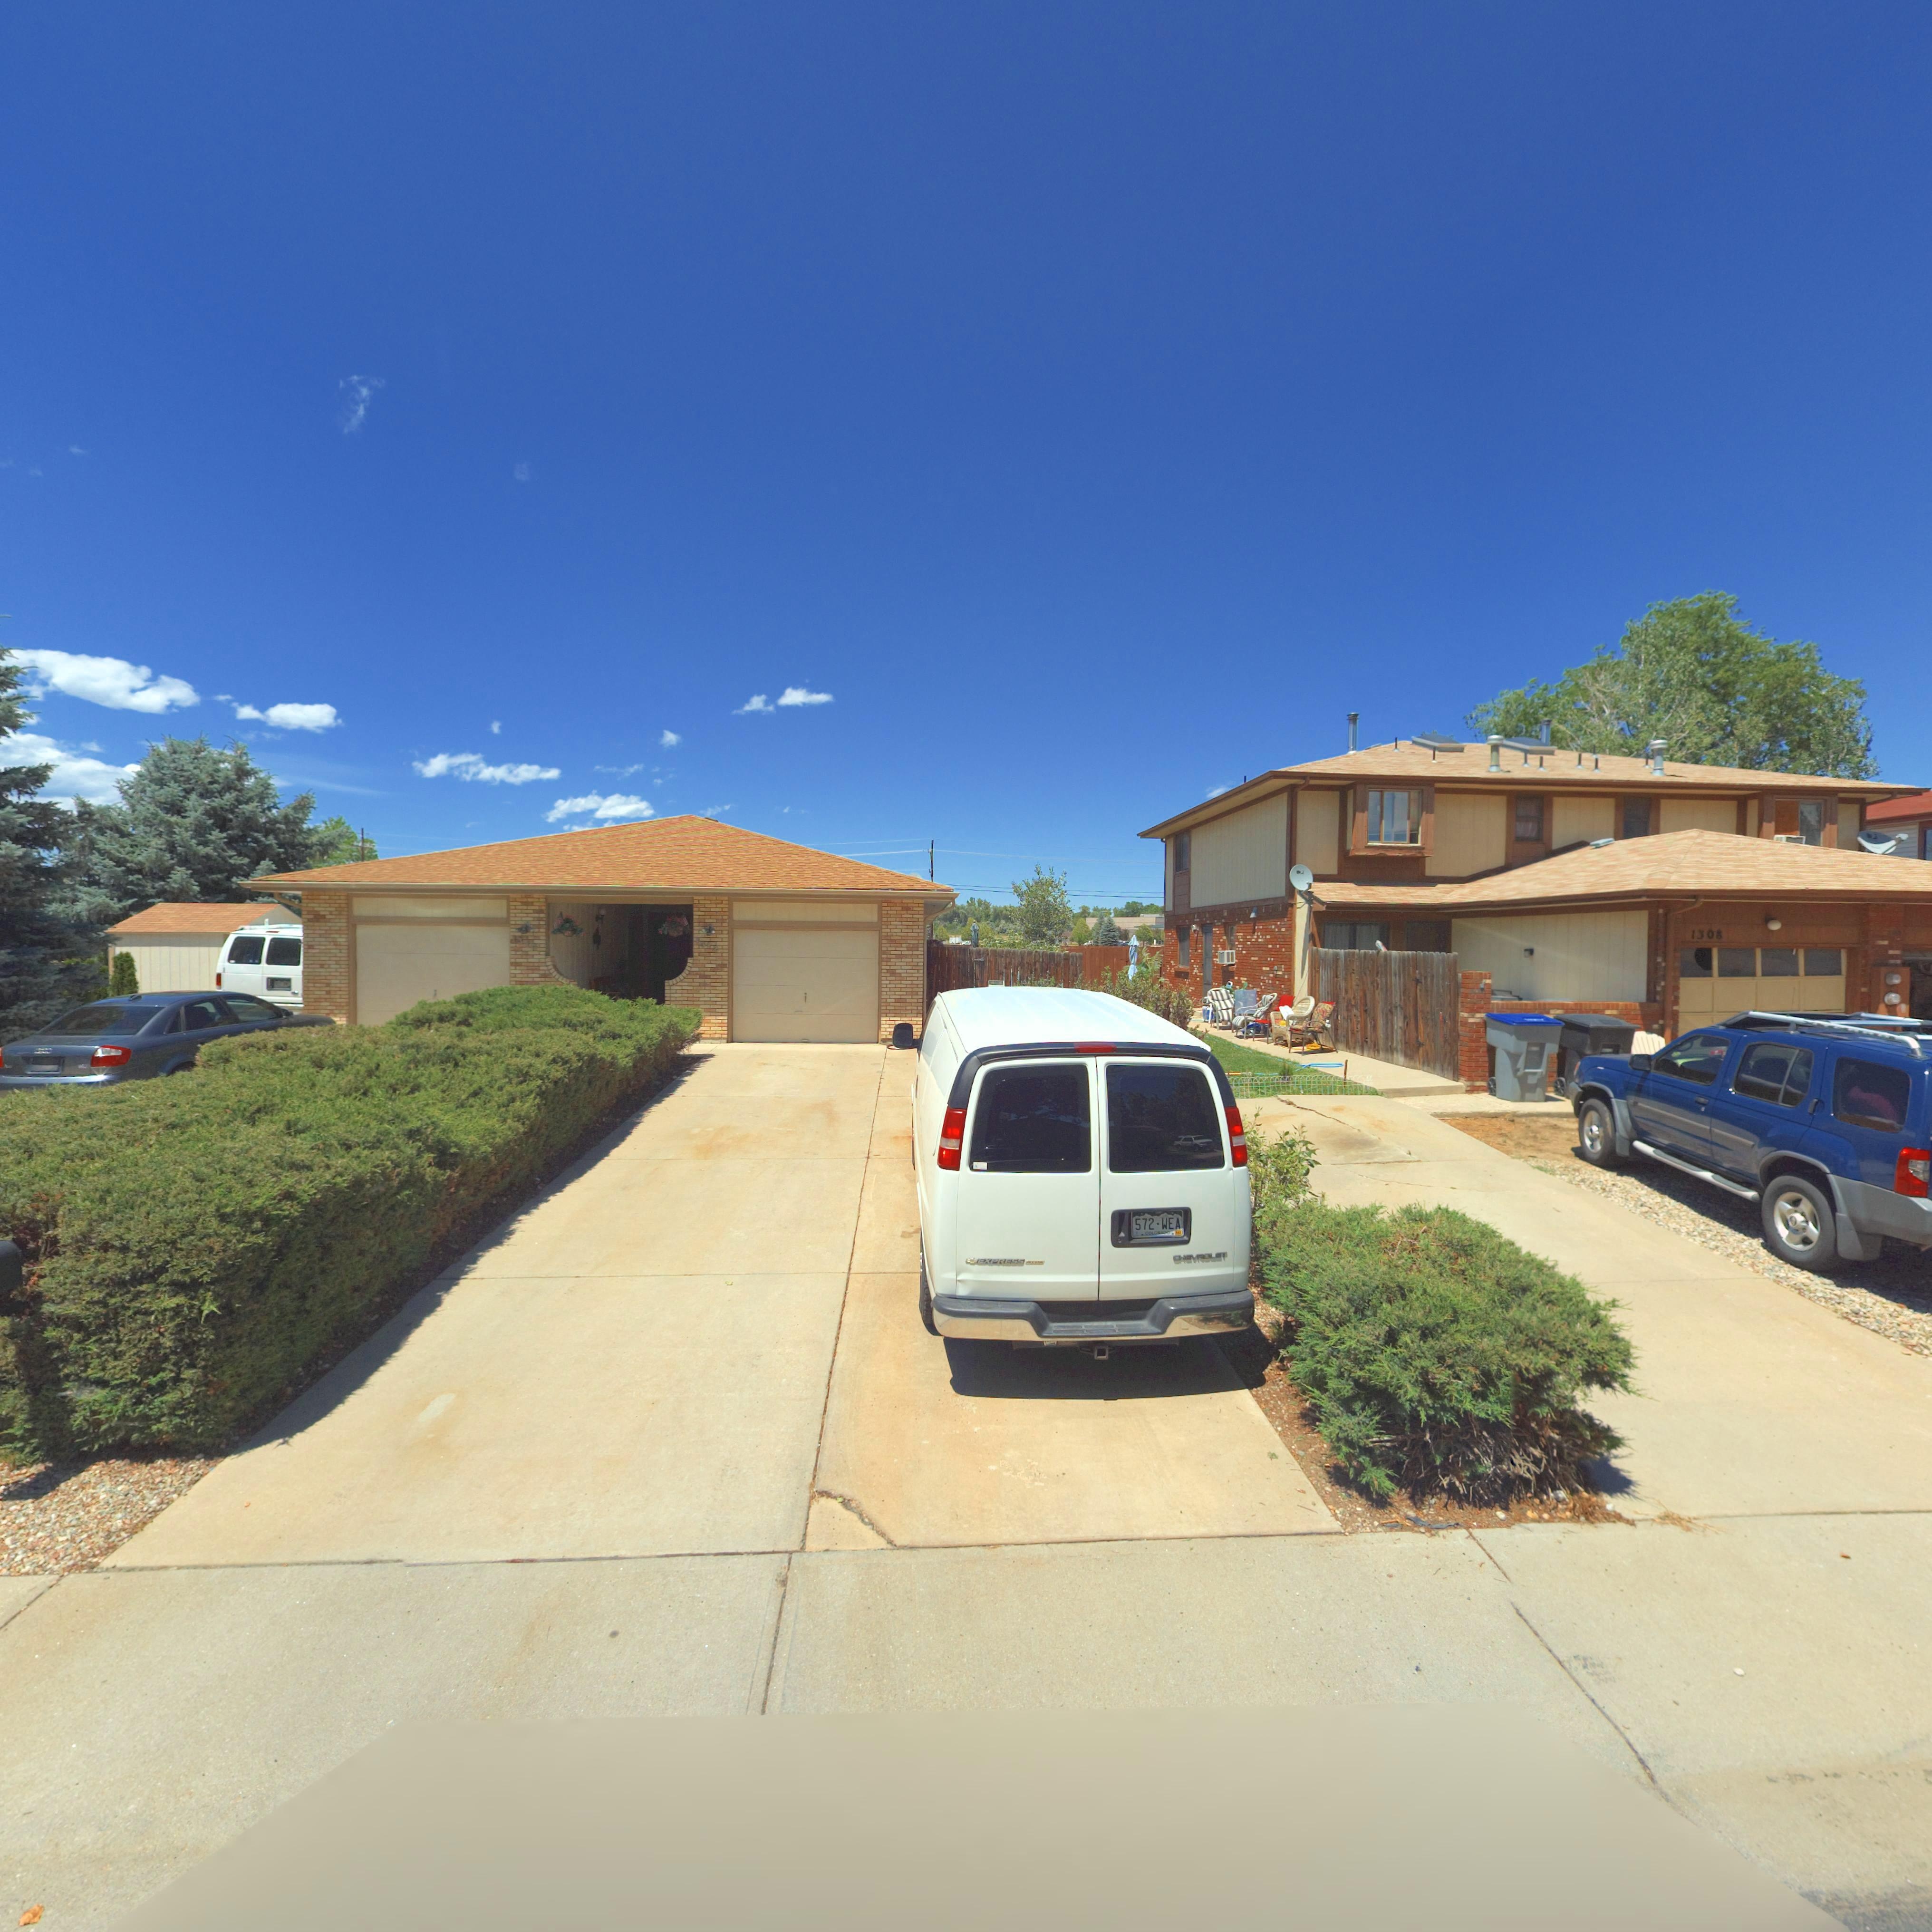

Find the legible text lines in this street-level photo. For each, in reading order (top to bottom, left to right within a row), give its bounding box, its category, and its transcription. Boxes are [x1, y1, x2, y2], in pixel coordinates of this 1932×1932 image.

[512, 935, 539, 951] StreetNumber: 131*
[695, 937, 718, 952] StreetNumber: 1312